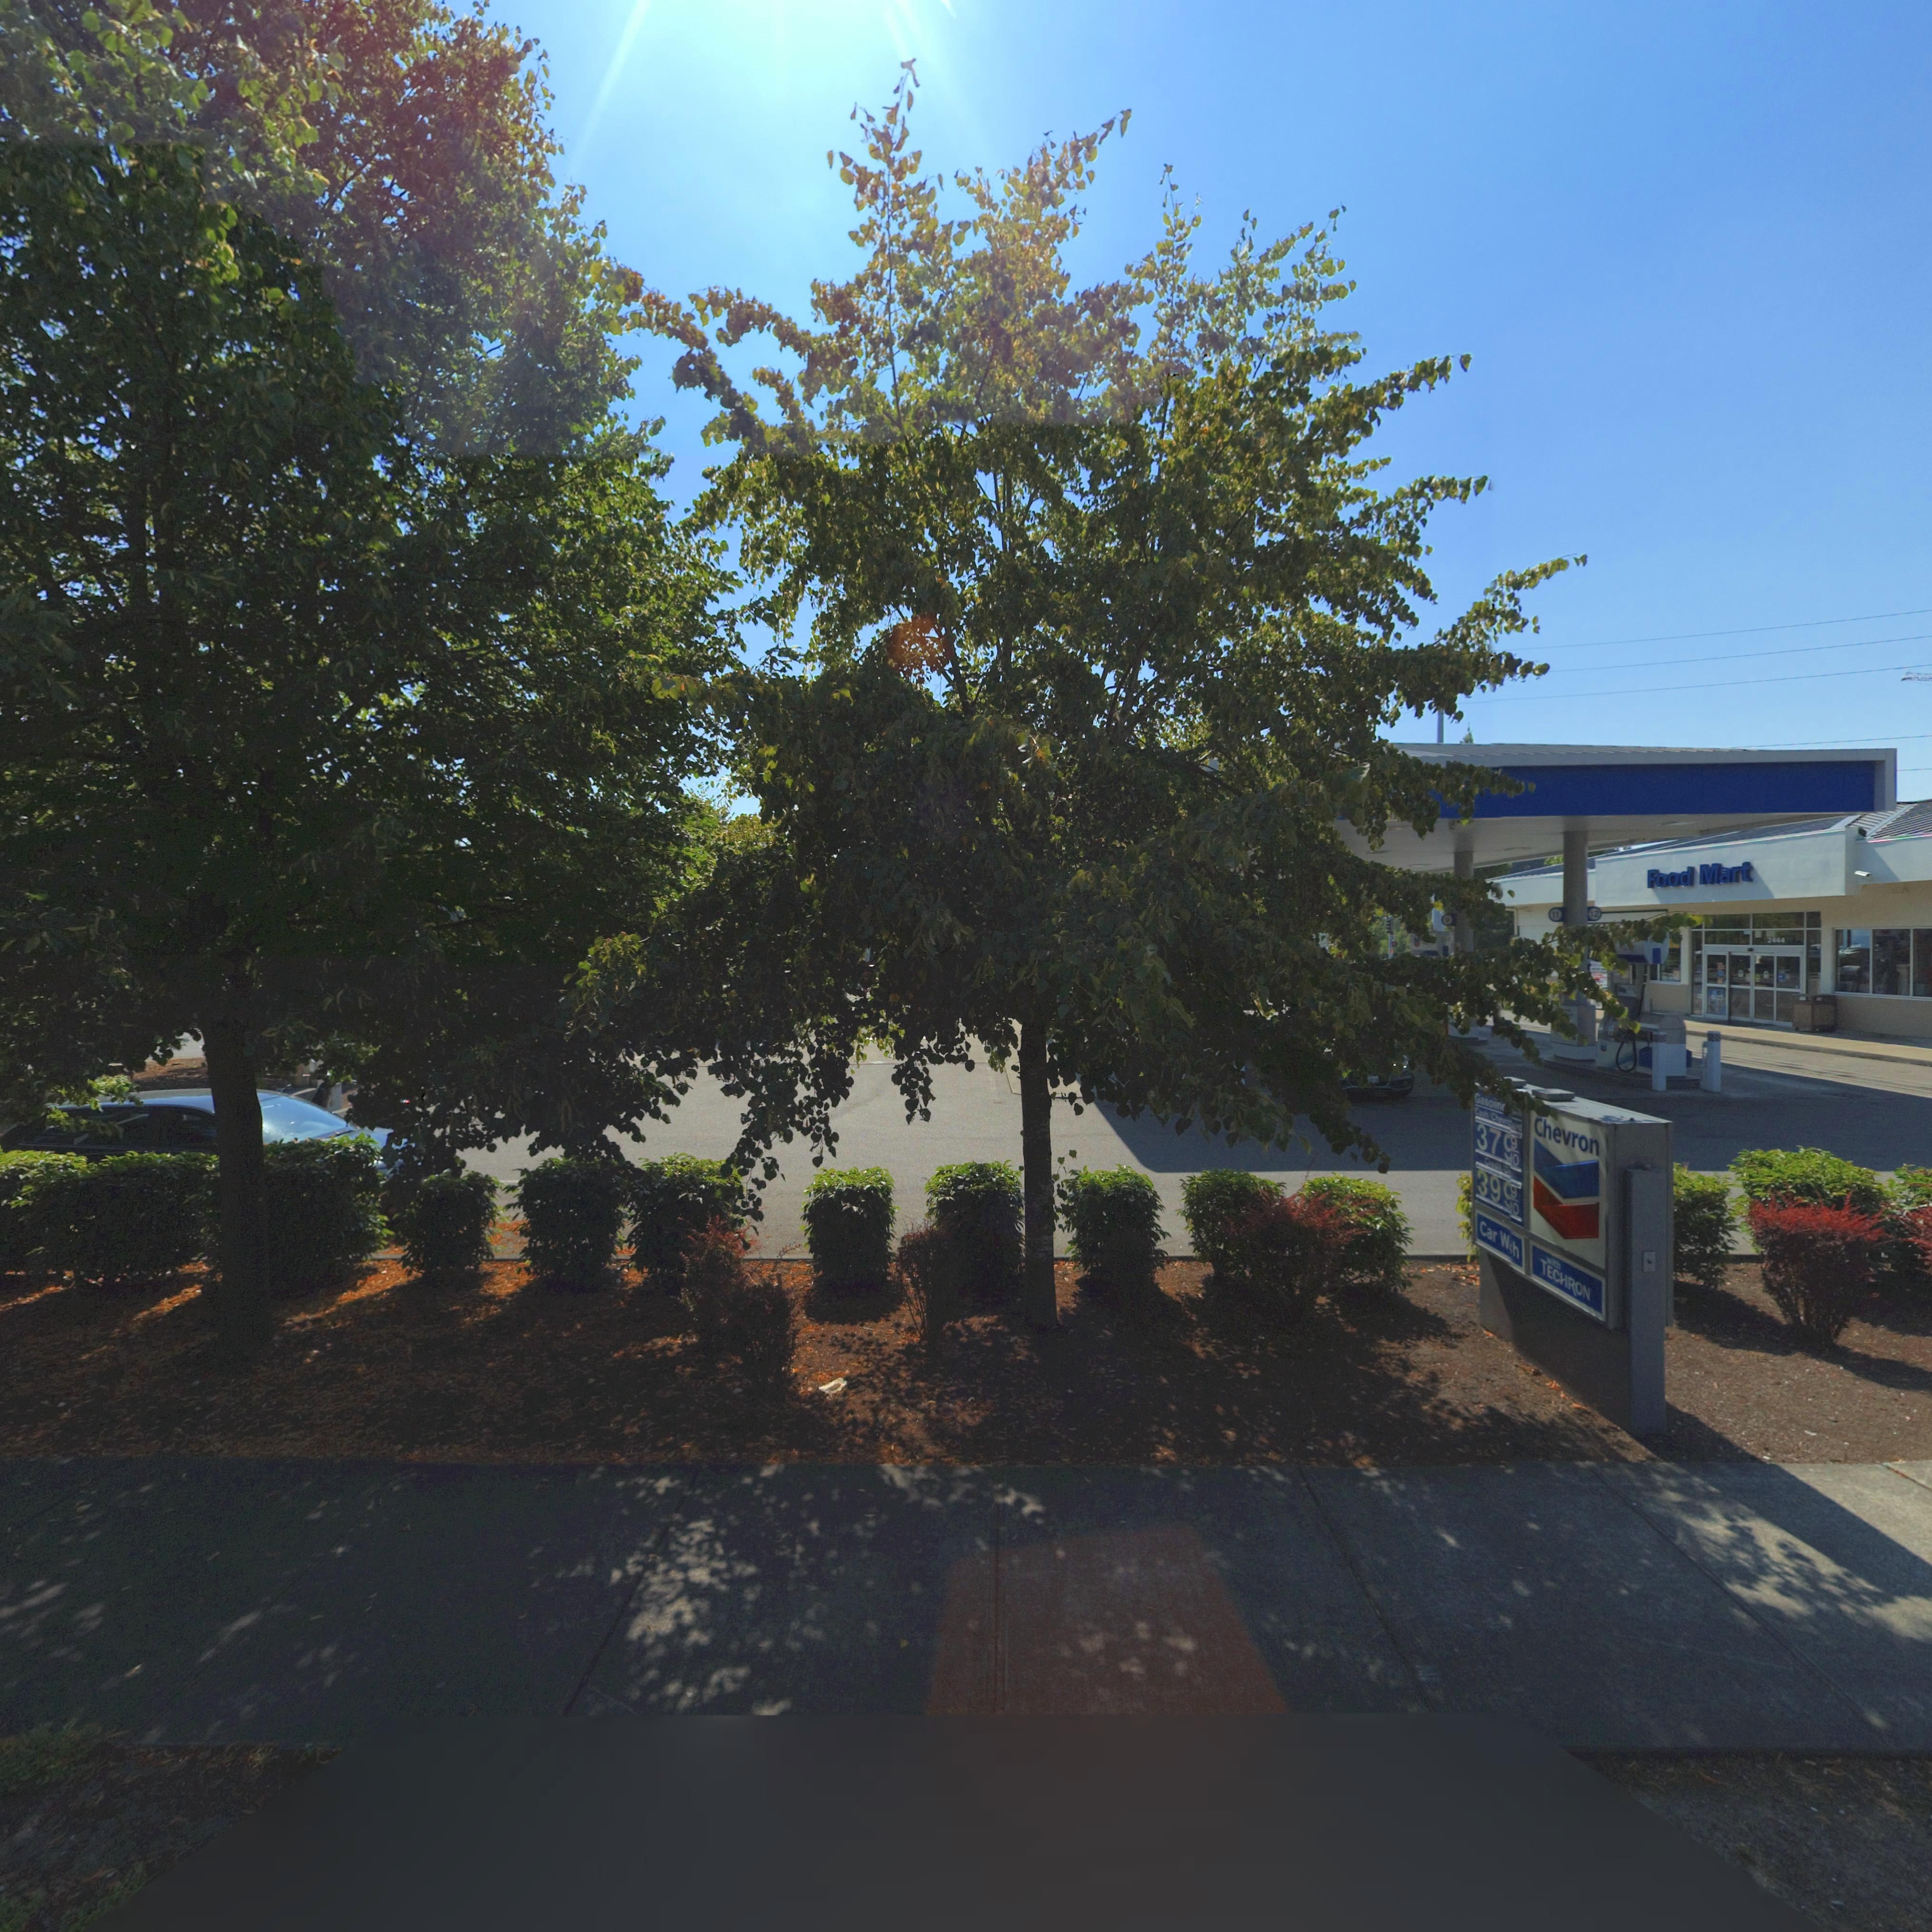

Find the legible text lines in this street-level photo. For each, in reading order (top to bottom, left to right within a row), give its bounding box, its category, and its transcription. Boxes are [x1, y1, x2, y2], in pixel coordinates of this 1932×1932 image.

[1640, 857, 1762, 893] BusinessName: Food Mart
[1534, 1116, 1599, 1156] BusinessName: chevron